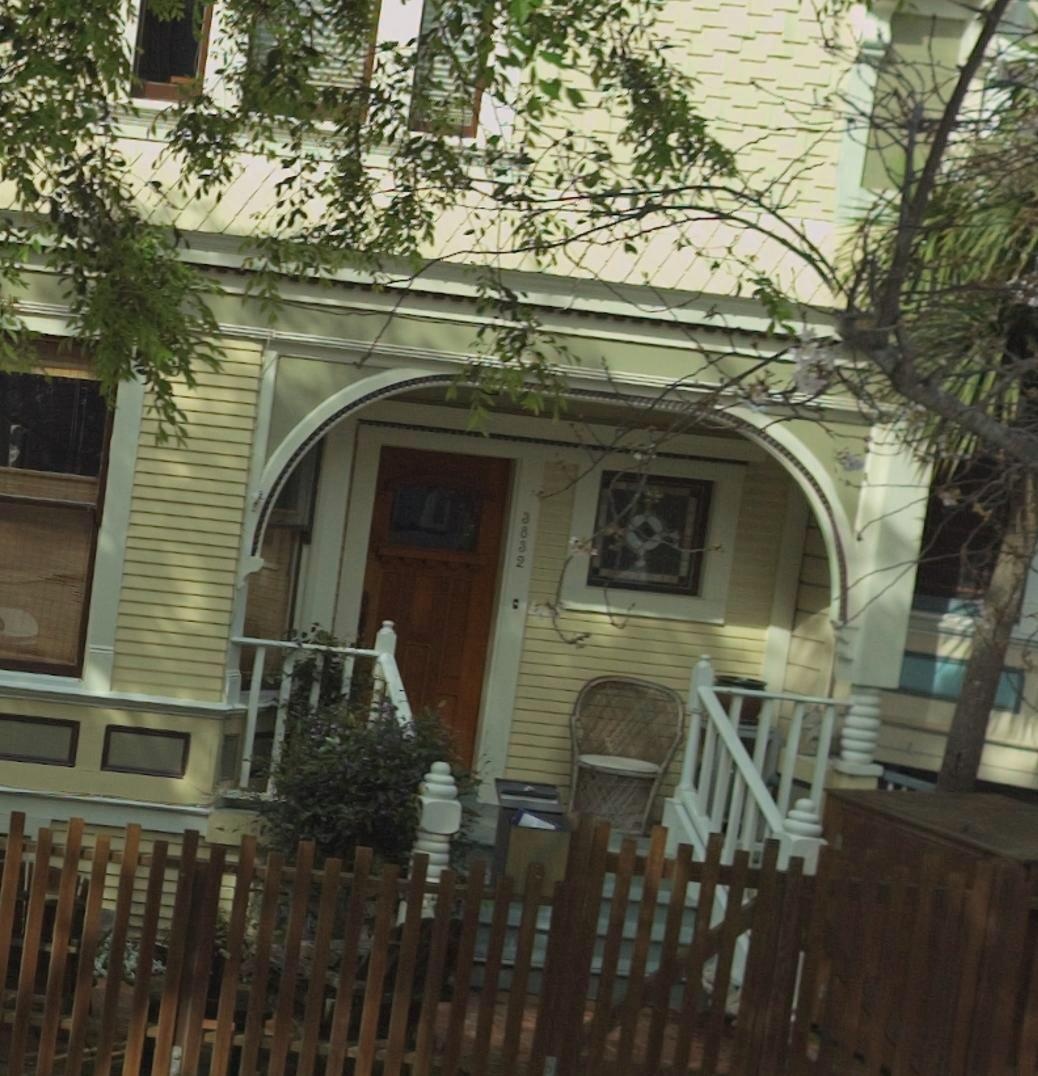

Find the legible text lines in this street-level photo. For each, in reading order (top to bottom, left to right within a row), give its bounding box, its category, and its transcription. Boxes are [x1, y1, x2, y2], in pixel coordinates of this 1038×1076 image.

[515, 511, 532, 570] StreetNumber: 3832